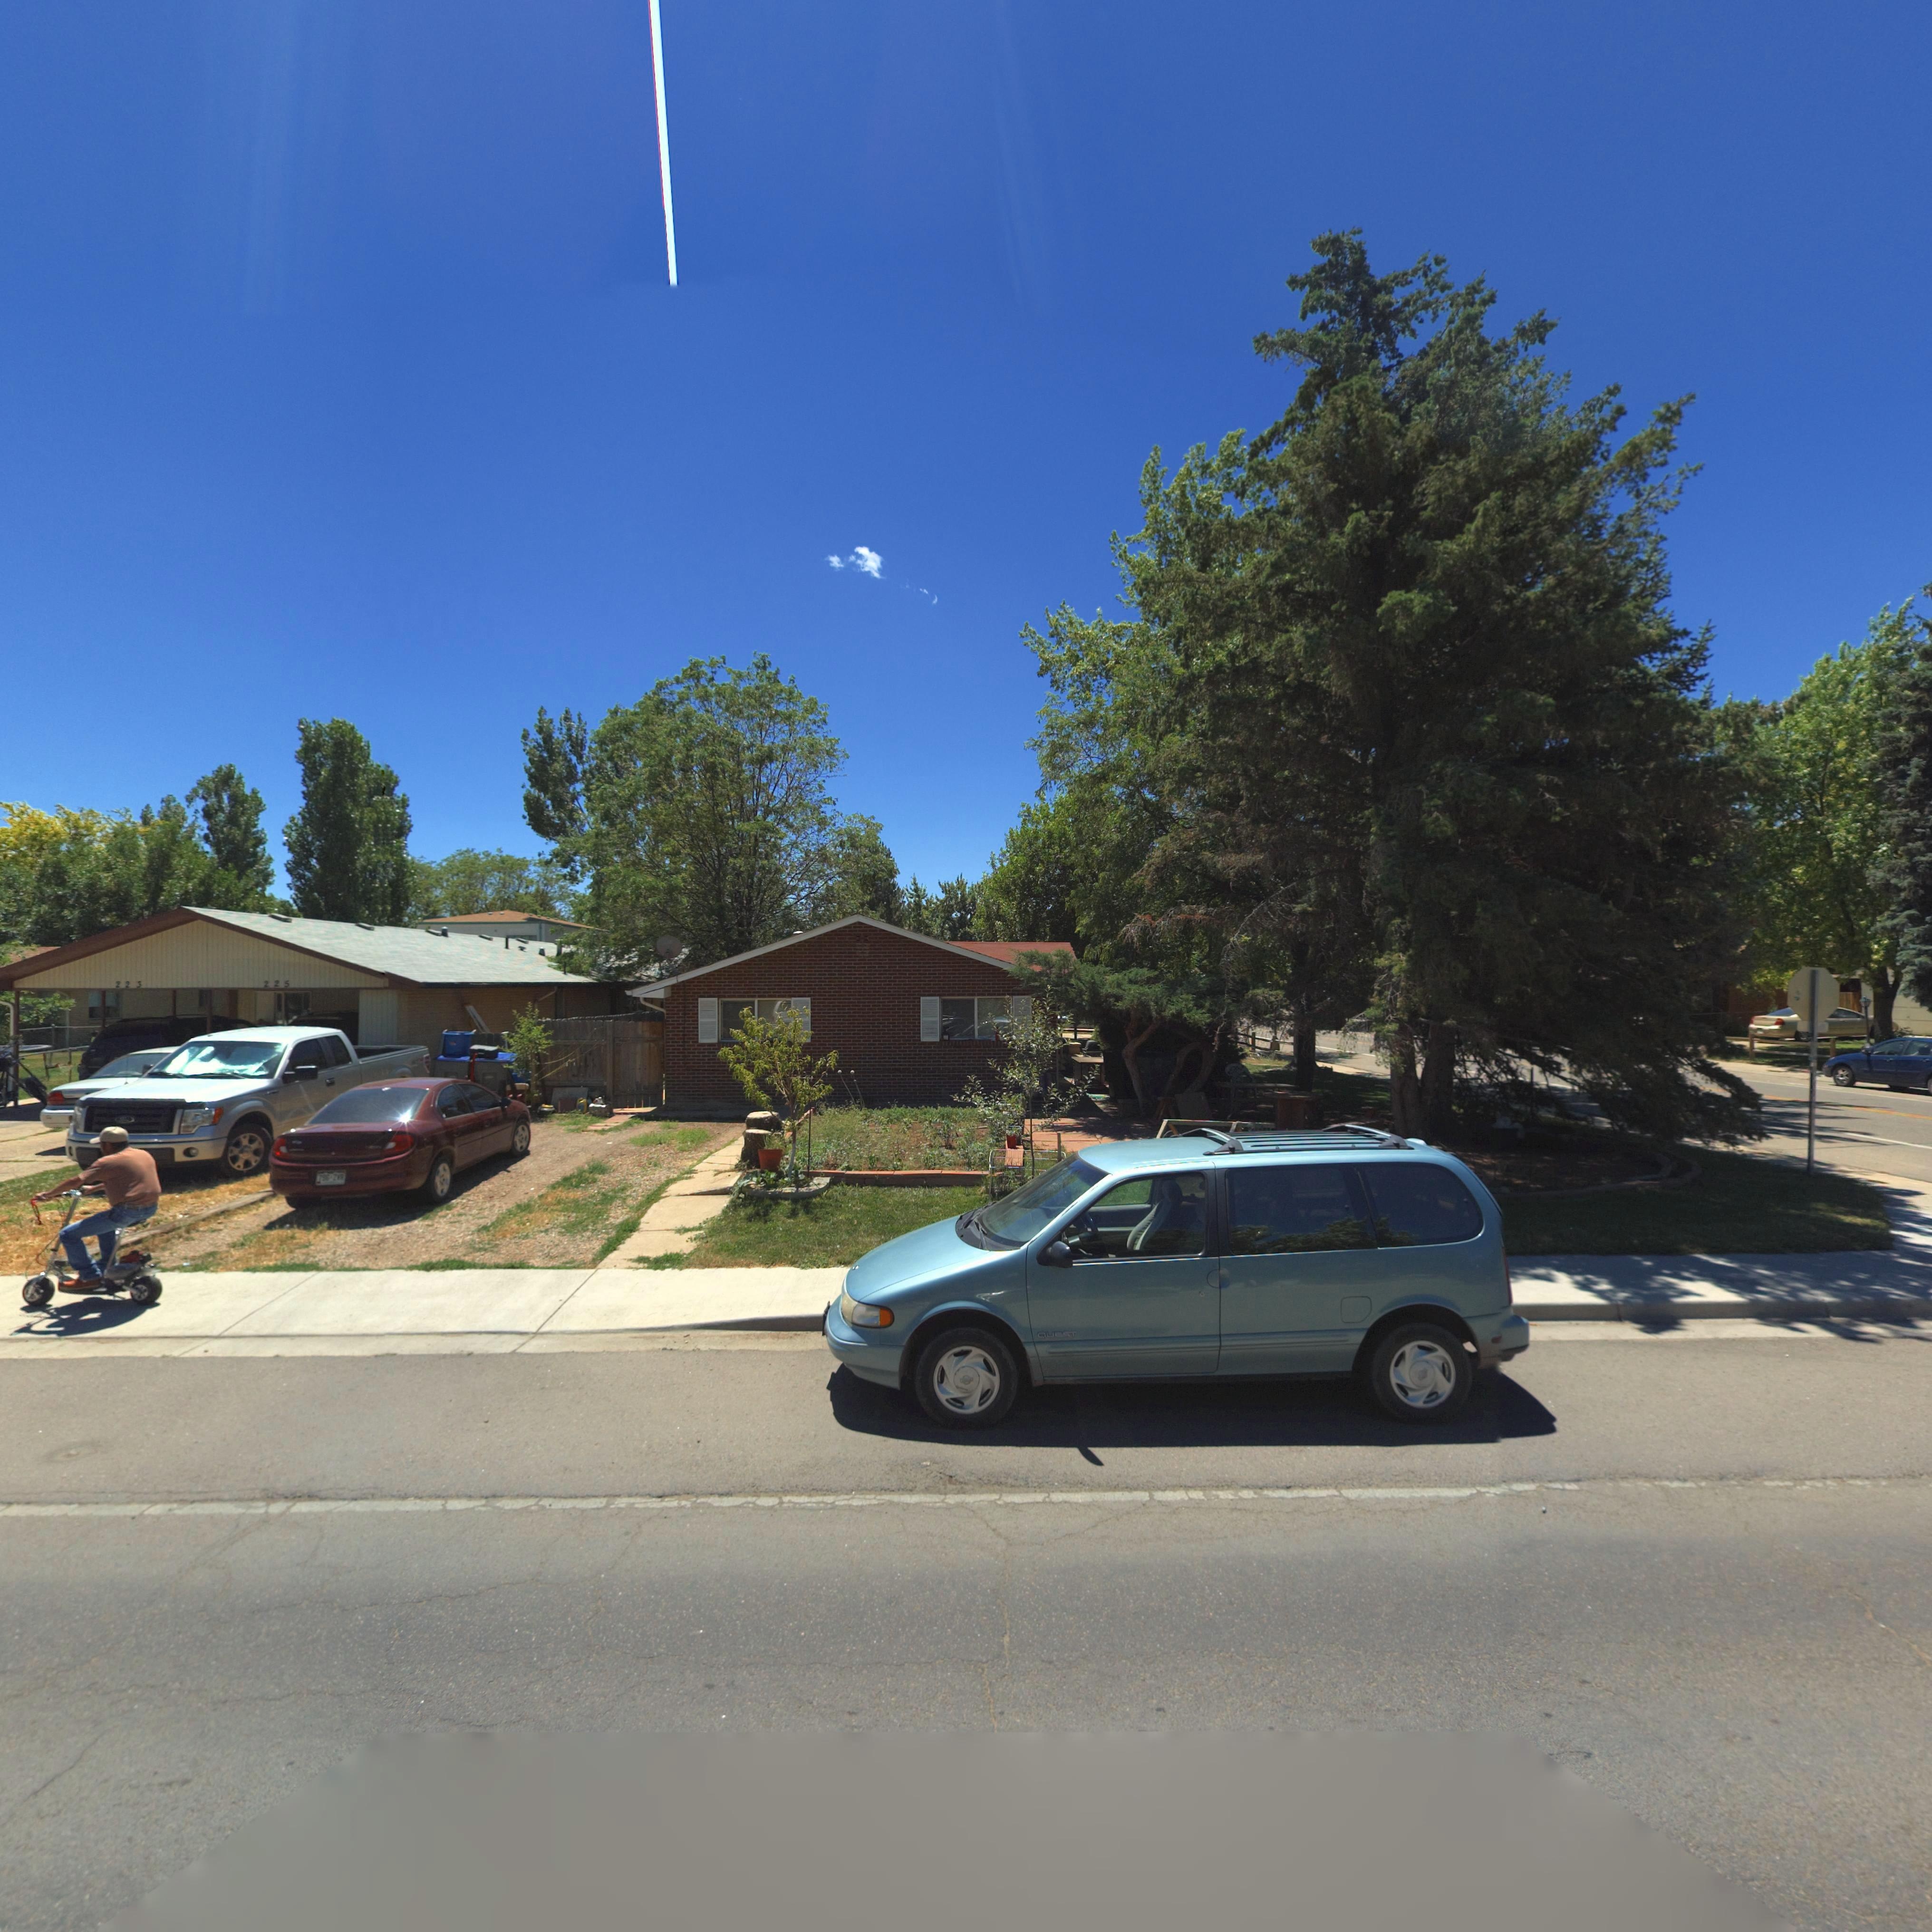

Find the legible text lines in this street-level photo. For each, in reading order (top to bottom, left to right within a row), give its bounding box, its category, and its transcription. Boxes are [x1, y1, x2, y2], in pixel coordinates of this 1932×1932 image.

[115, 980, 142, 988] StreetNumber: 223
[263, 979, 290, 987] StreetNumber: 225